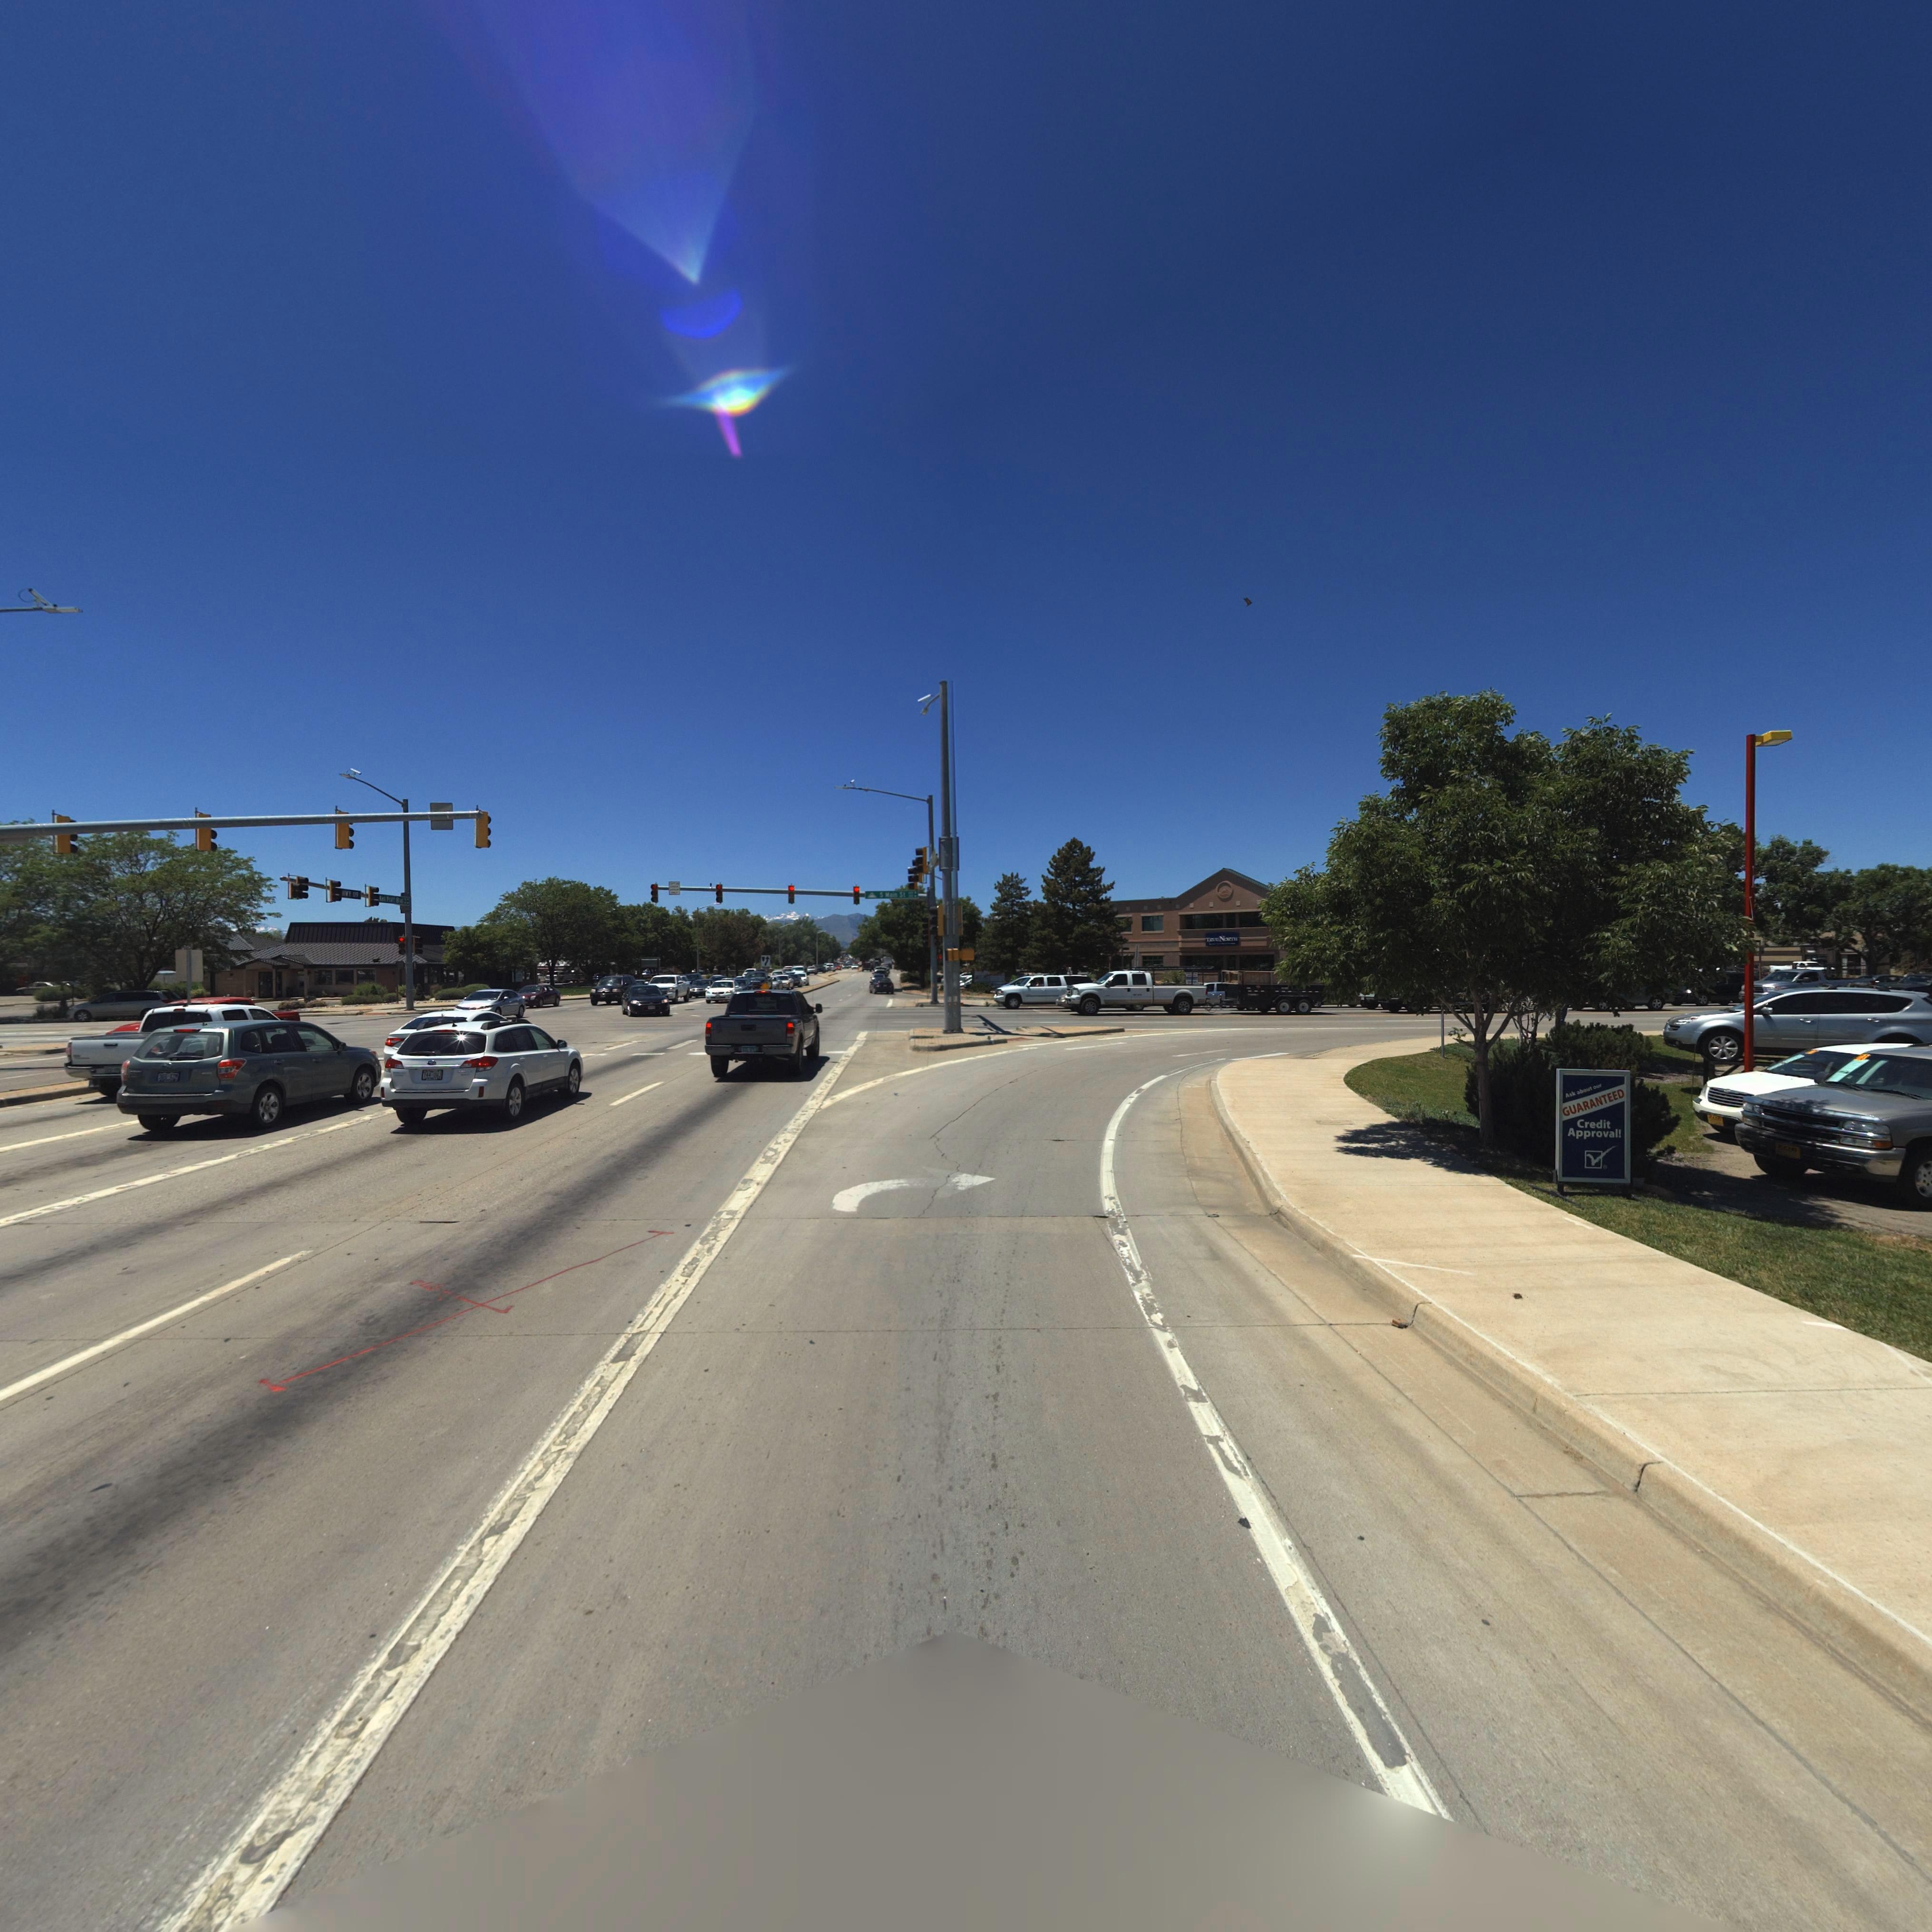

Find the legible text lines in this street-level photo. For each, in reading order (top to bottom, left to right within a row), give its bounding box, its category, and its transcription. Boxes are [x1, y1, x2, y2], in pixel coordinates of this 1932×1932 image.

[342, 889, 358, 898] StreetName: HWY 119
[879, 891, 906, 897] StreetName: S Main St
[378, 895, 403, 904] StreetName: *e* P*a*t B**d
[1206, 935, 1237, 942] BusinessName: T**ENORTH